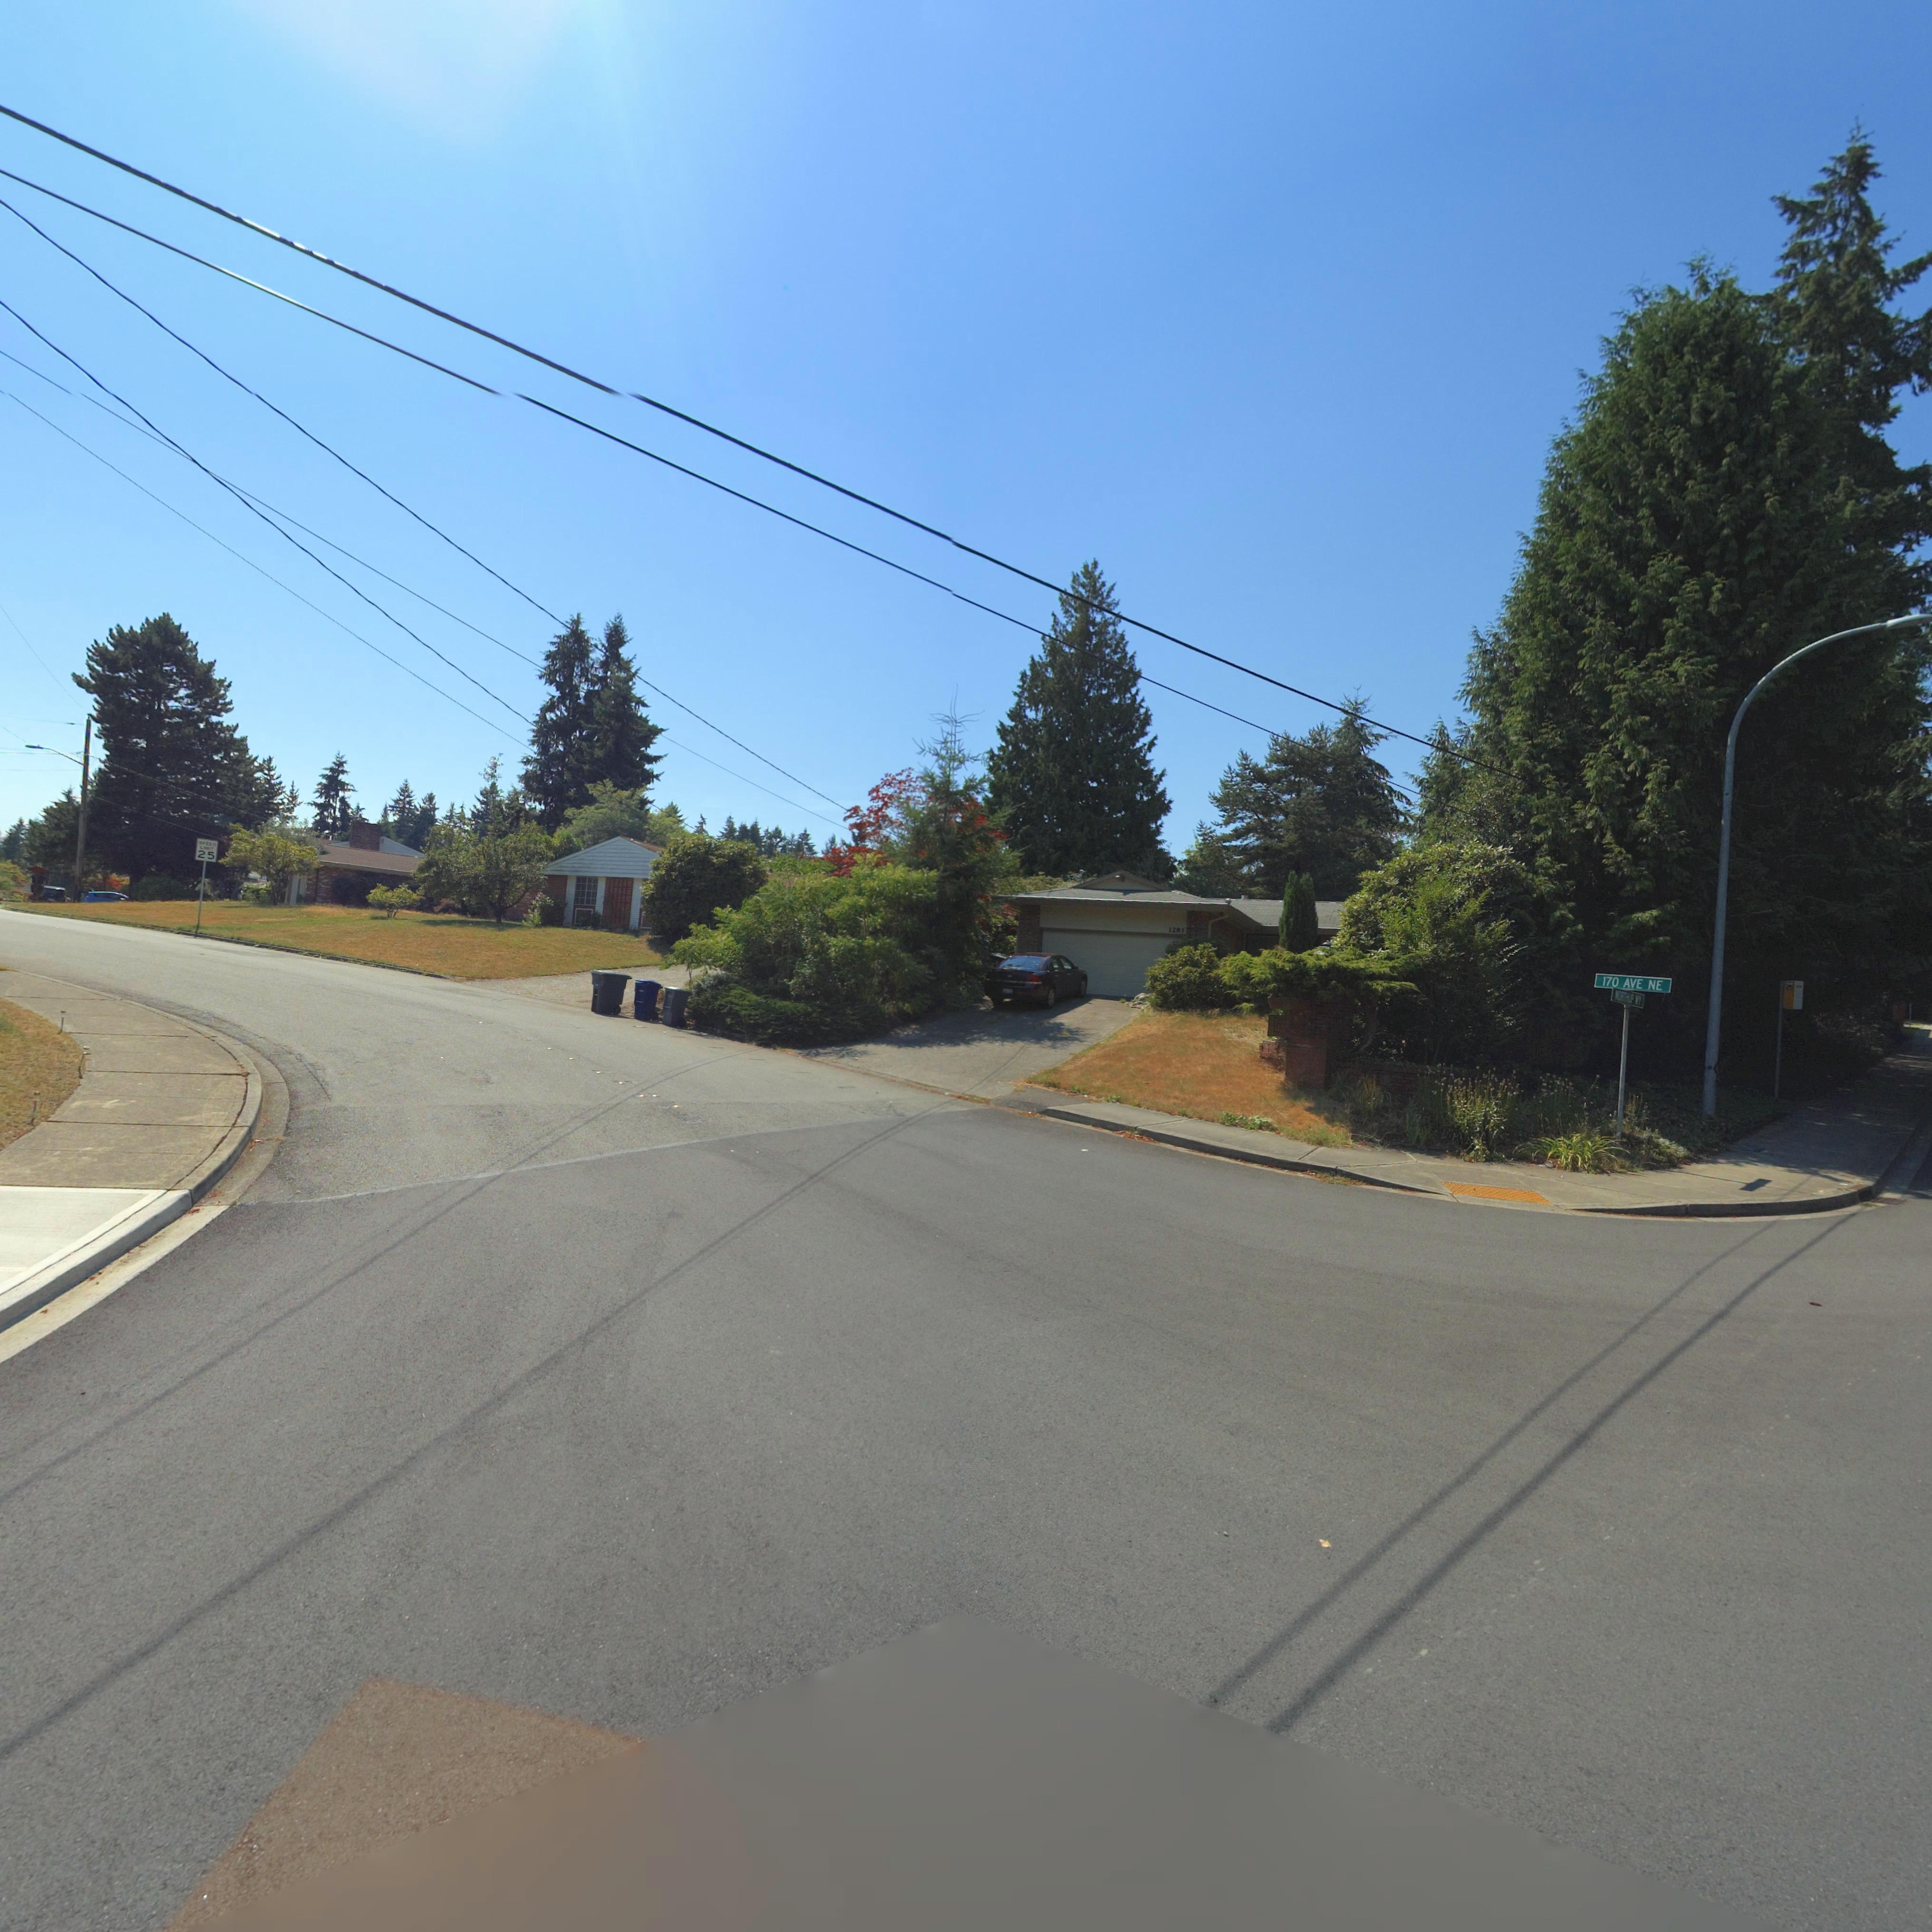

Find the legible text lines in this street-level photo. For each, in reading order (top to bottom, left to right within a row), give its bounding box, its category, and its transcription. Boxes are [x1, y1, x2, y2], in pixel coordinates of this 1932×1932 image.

[1169, 927, 1184, 933] StreetNumber: 1283
[1602, 976, 1663, 991] StreetName: 170 AVE NE